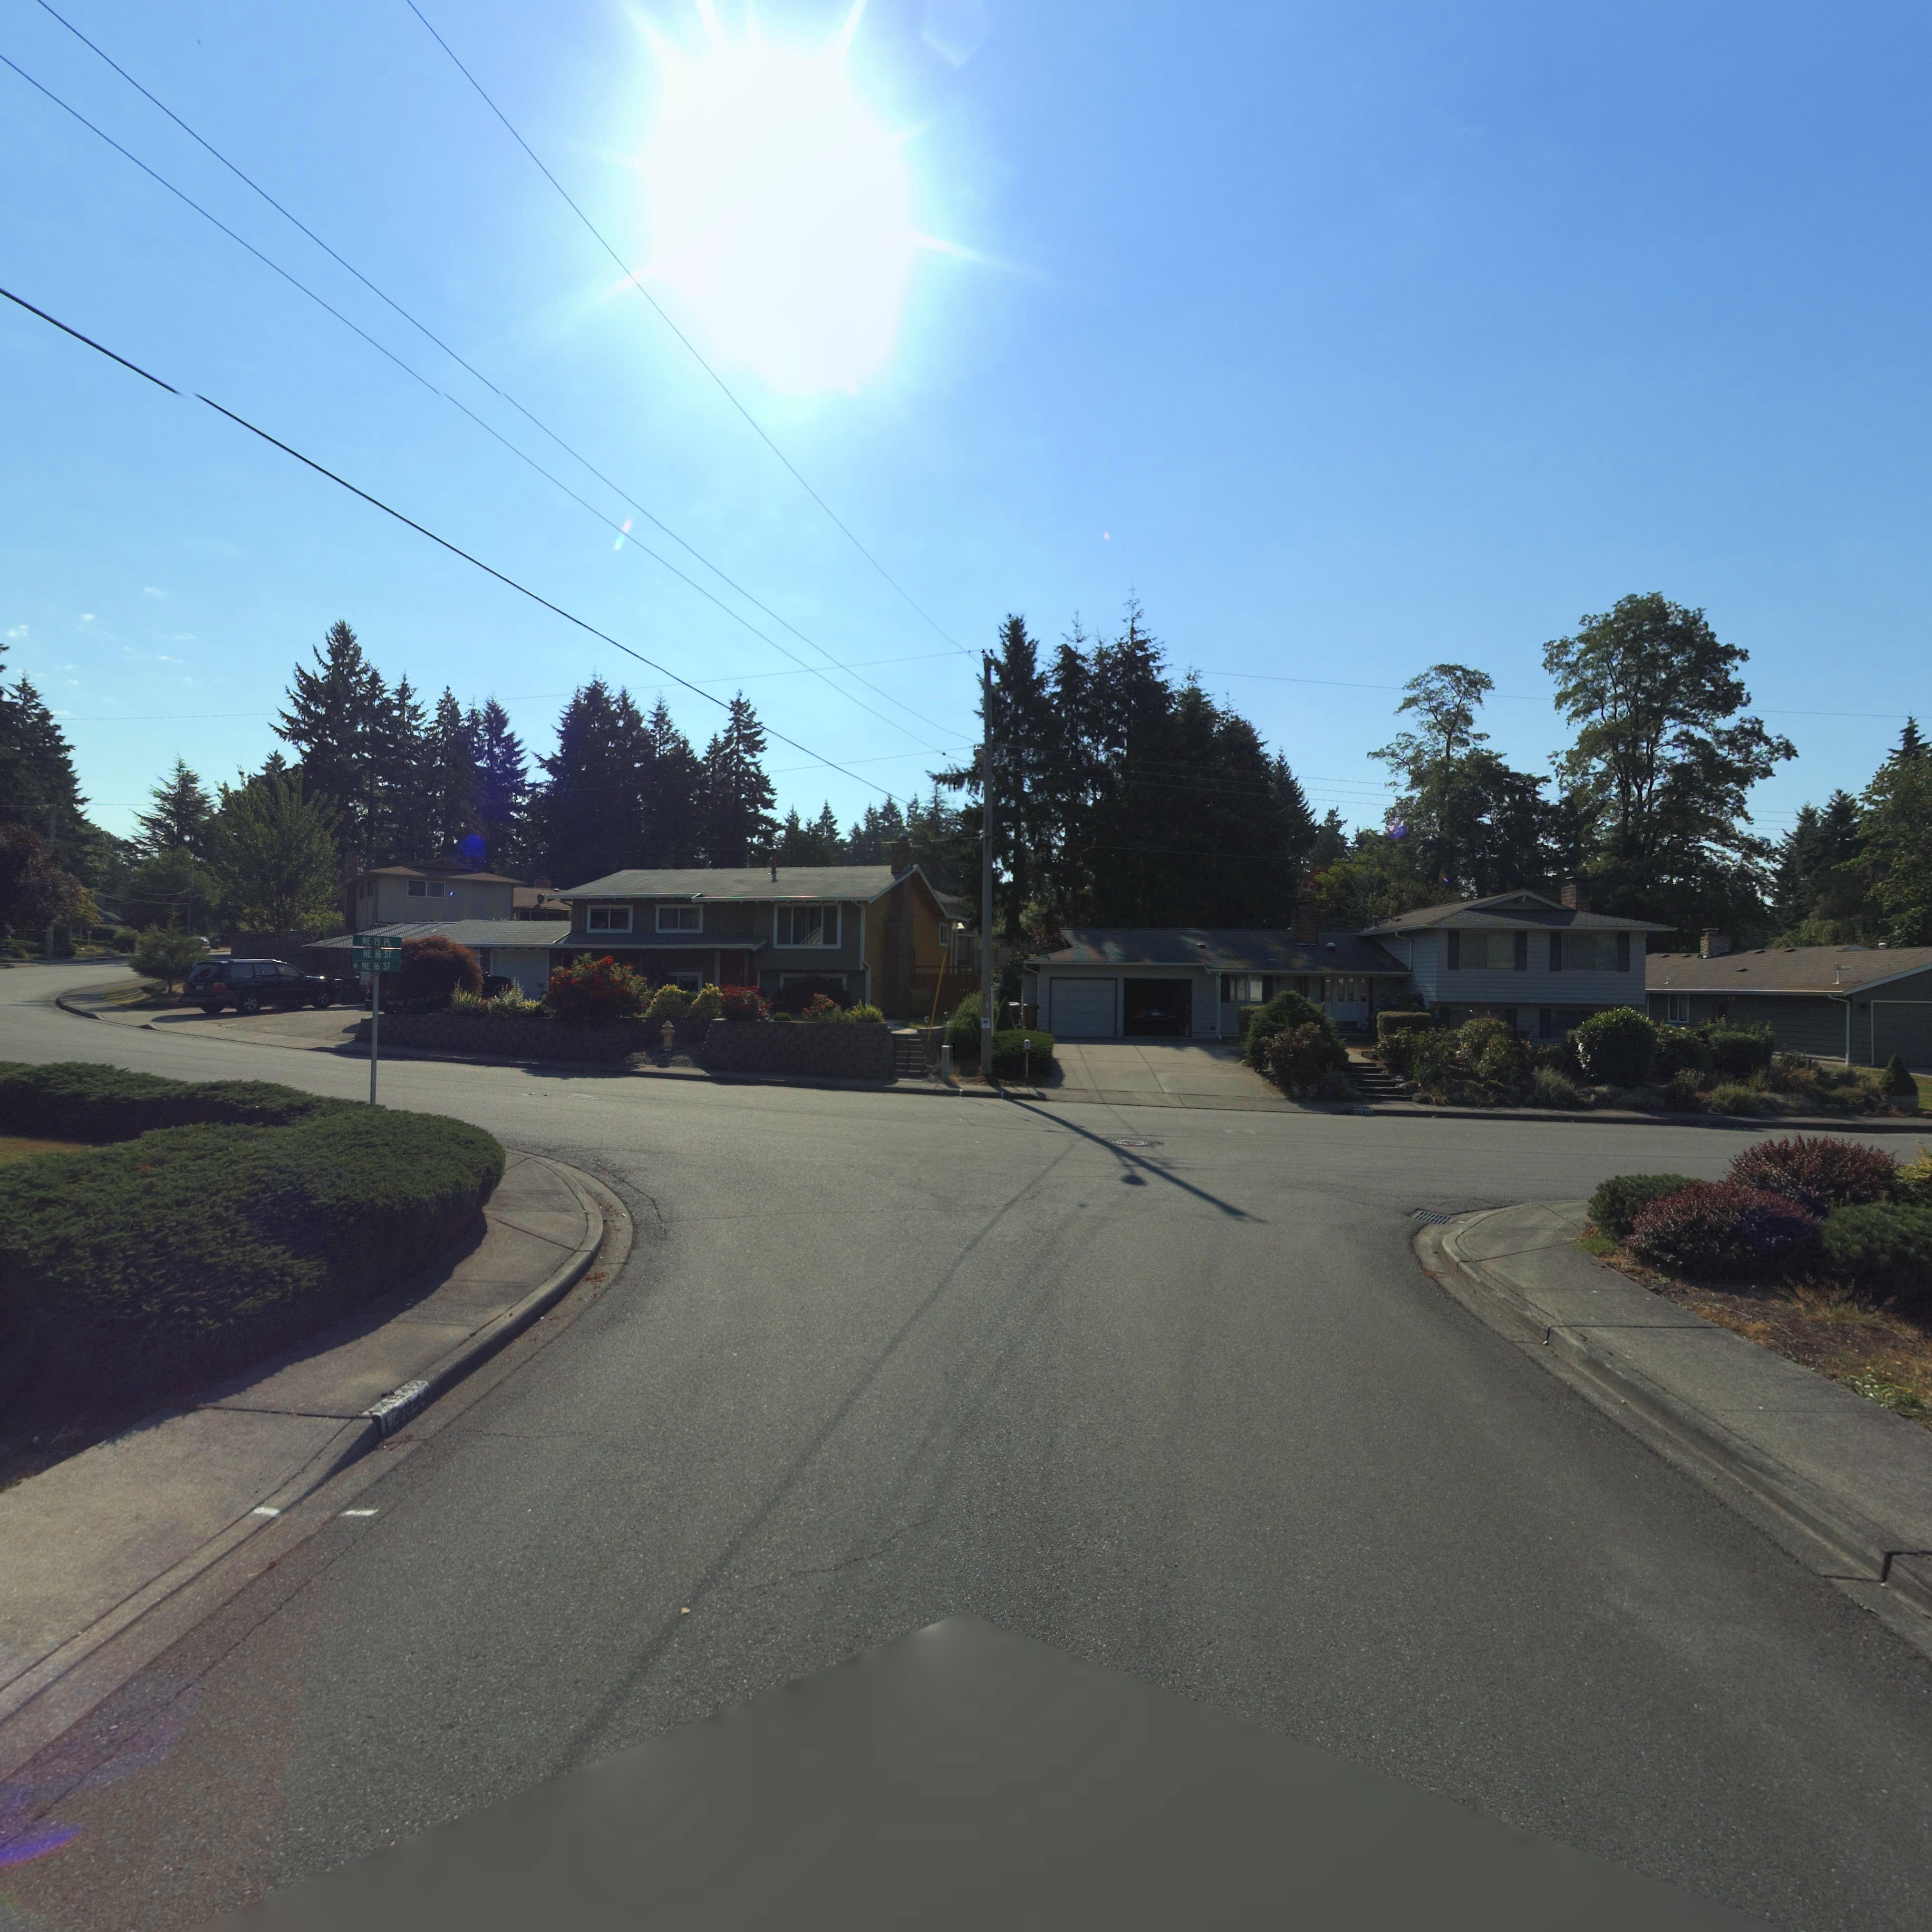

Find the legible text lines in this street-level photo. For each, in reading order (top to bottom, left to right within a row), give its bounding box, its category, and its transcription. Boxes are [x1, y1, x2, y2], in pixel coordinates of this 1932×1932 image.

[362, 937, 391, 946] StreetName: NE 15 PL
[363, 948, 392, 958] StreetName: NE 16 ST
[353, 962, 390, 970] StreetNumberRange: <- NE 16 ST